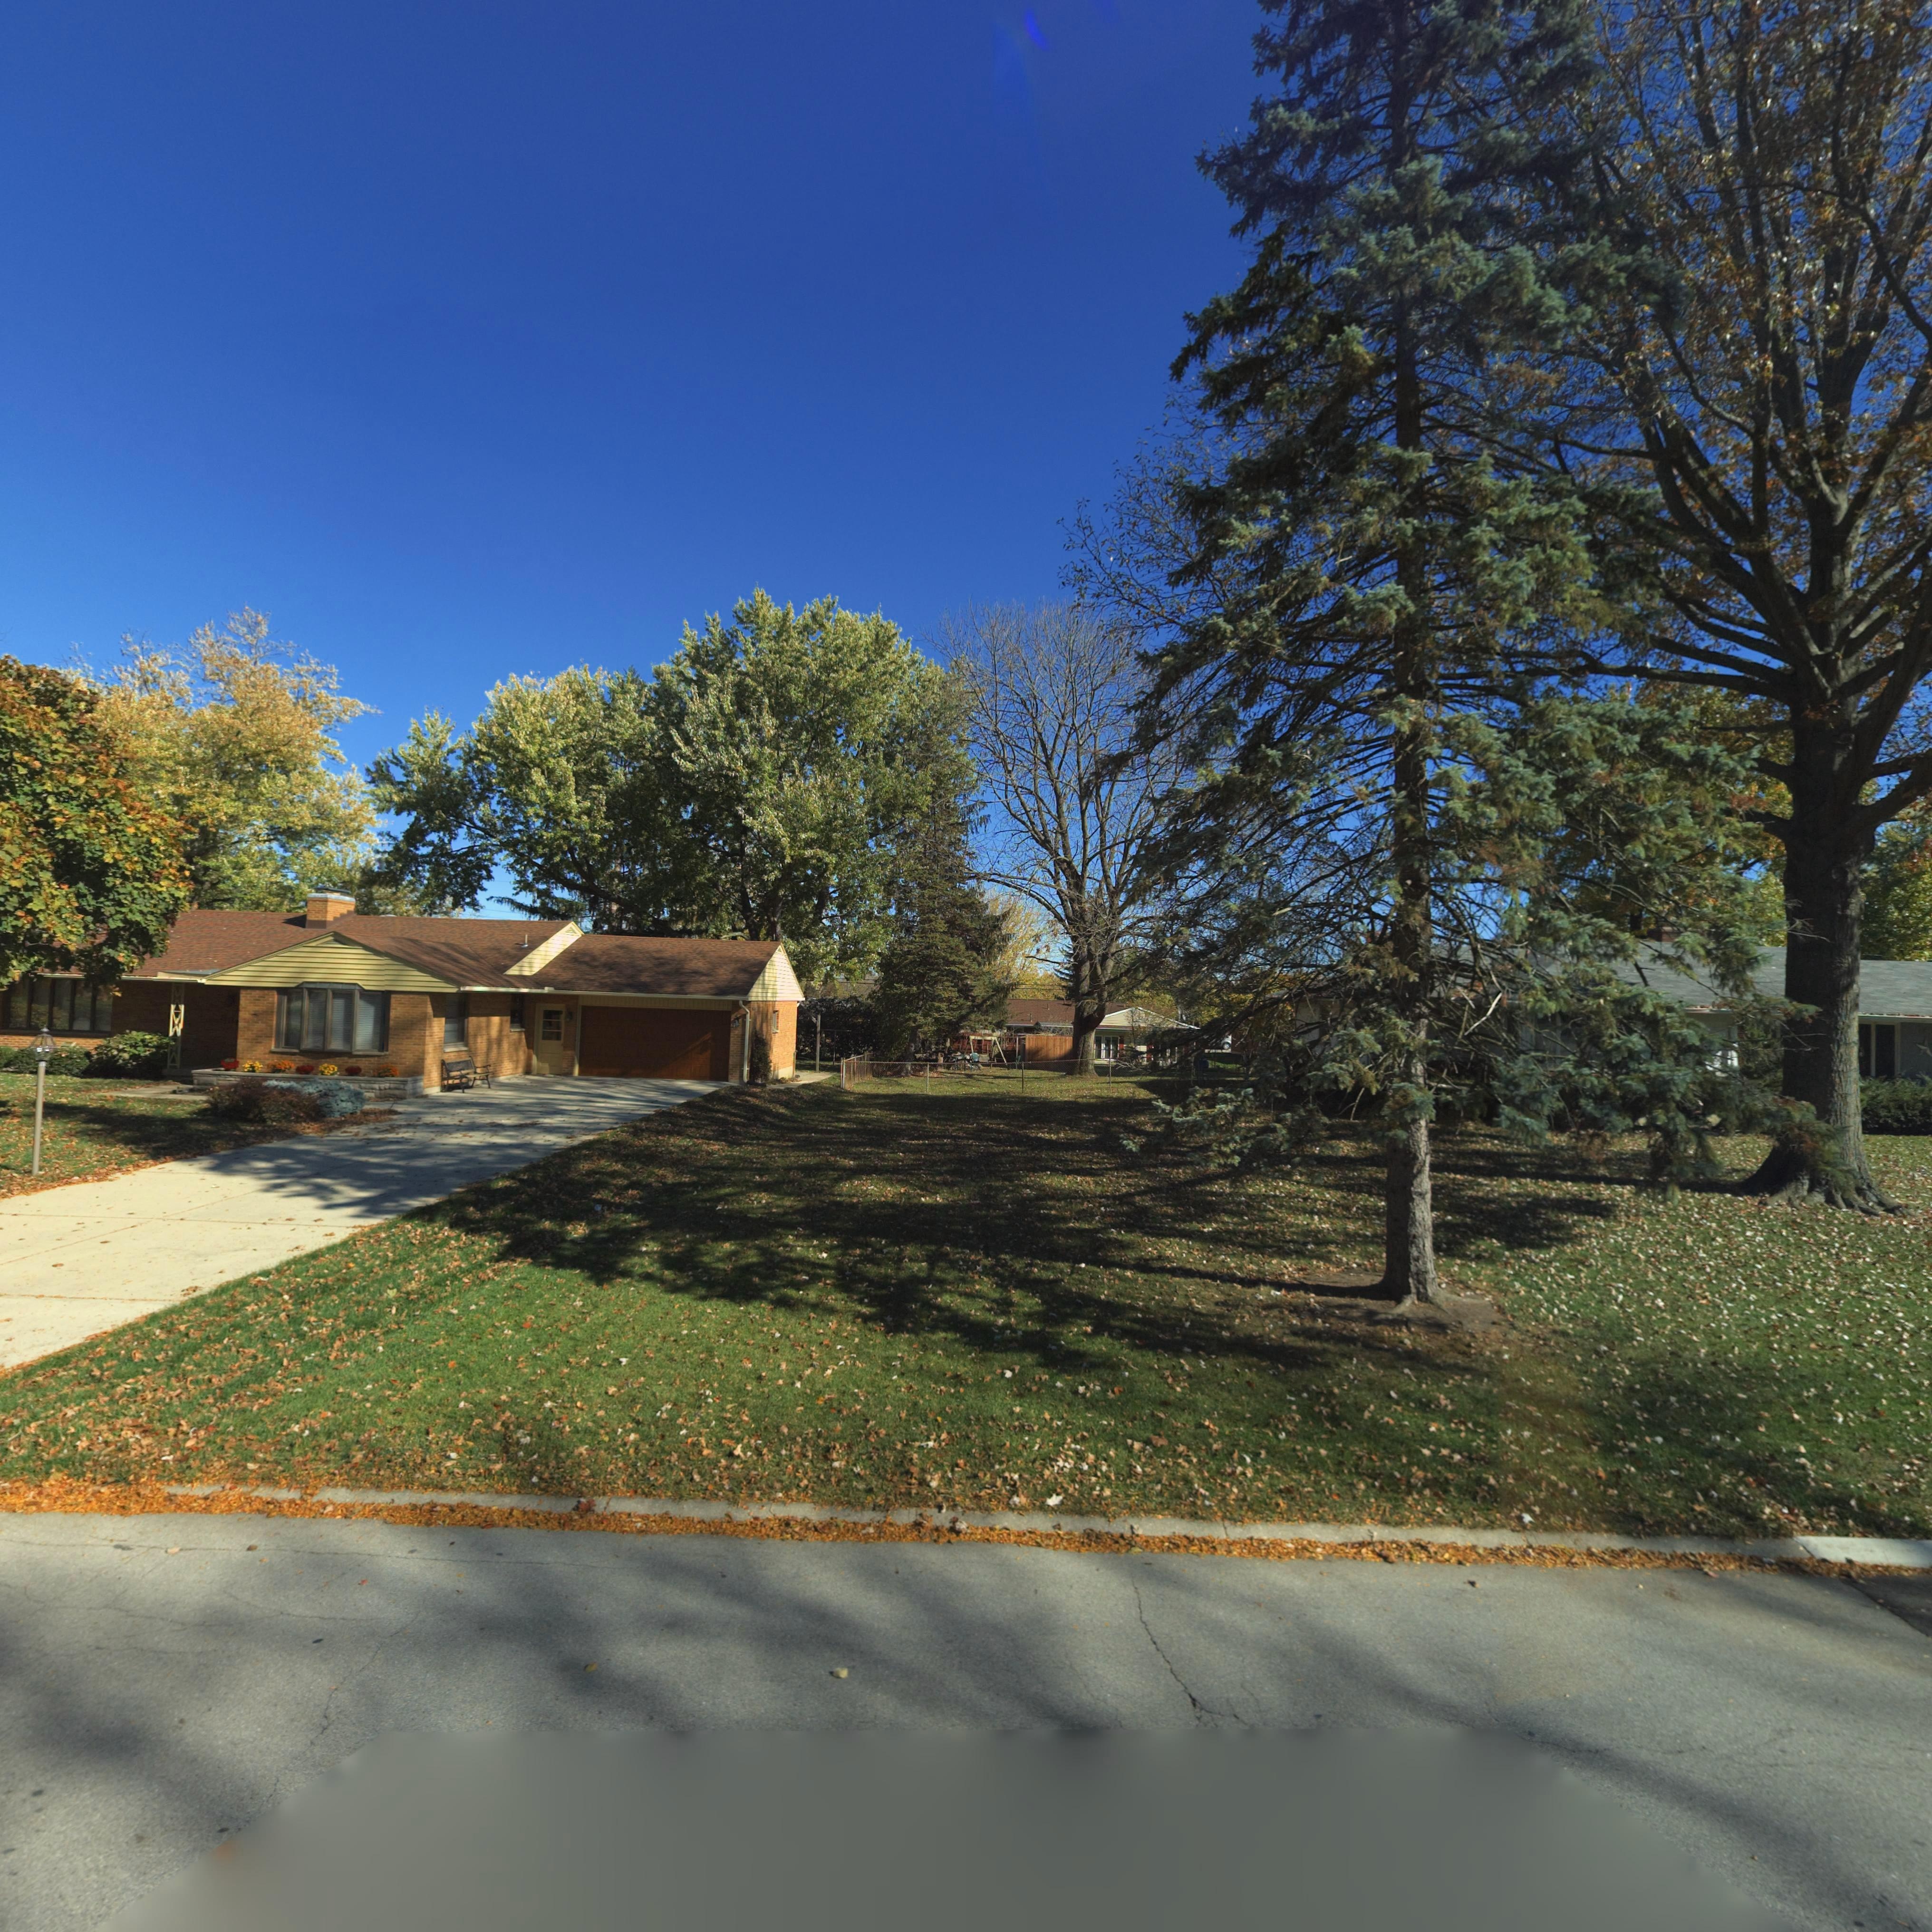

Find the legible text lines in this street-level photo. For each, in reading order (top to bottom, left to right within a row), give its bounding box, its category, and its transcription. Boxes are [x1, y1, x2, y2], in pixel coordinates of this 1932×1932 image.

[227, 1016, 235, 1024] StreetNumber: 3